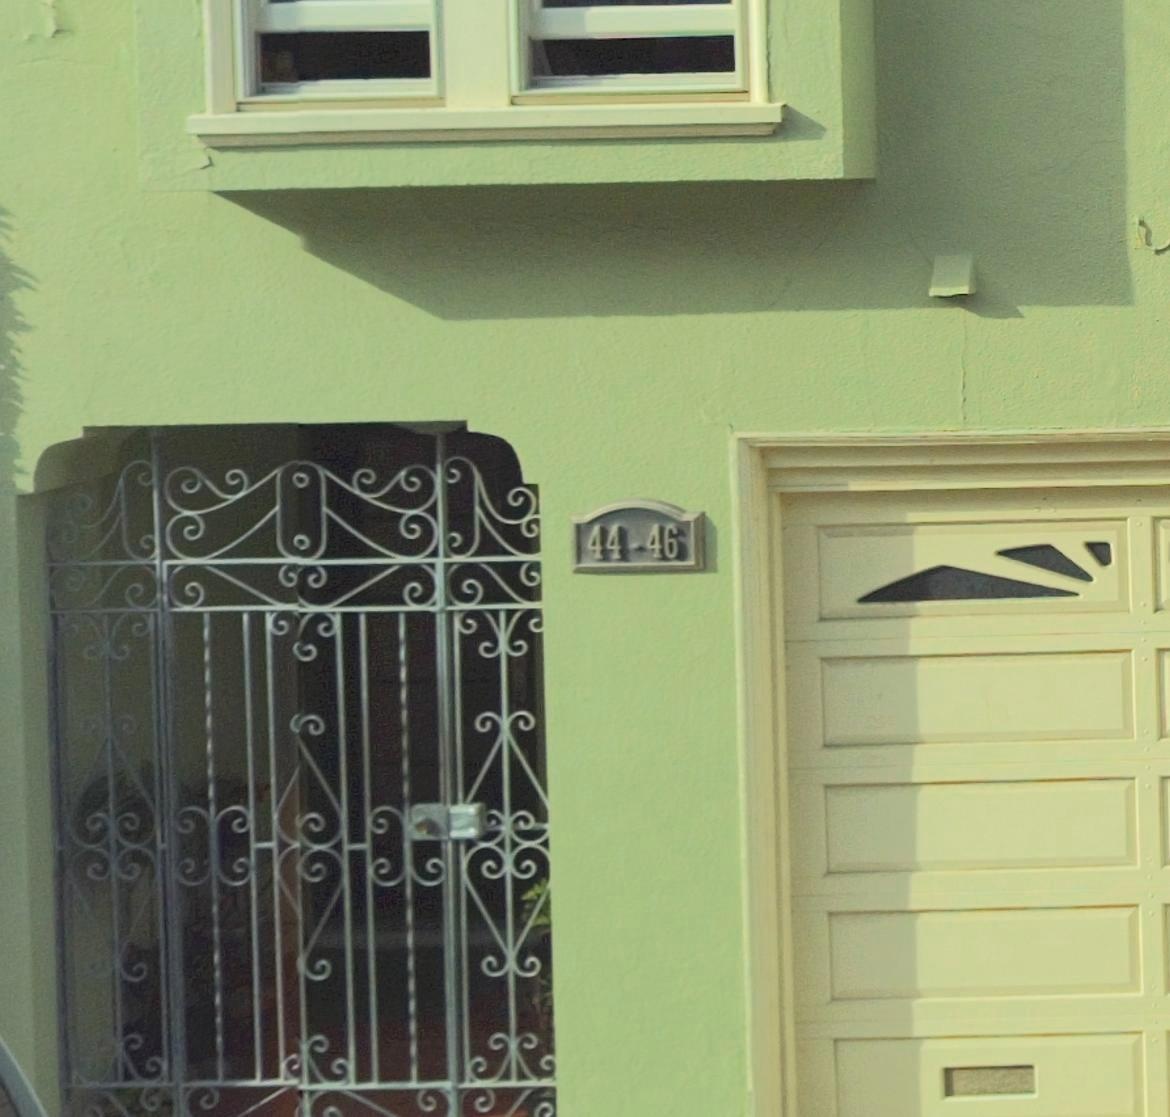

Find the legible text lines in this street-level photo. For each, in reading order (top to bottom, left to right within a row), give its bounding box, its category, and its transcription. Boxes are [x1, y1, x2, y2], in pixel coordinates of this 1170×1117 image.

[584, 521, 626, 563] StreetNumber: 44
[644, 521, 682, 563] StreetNumber: 46